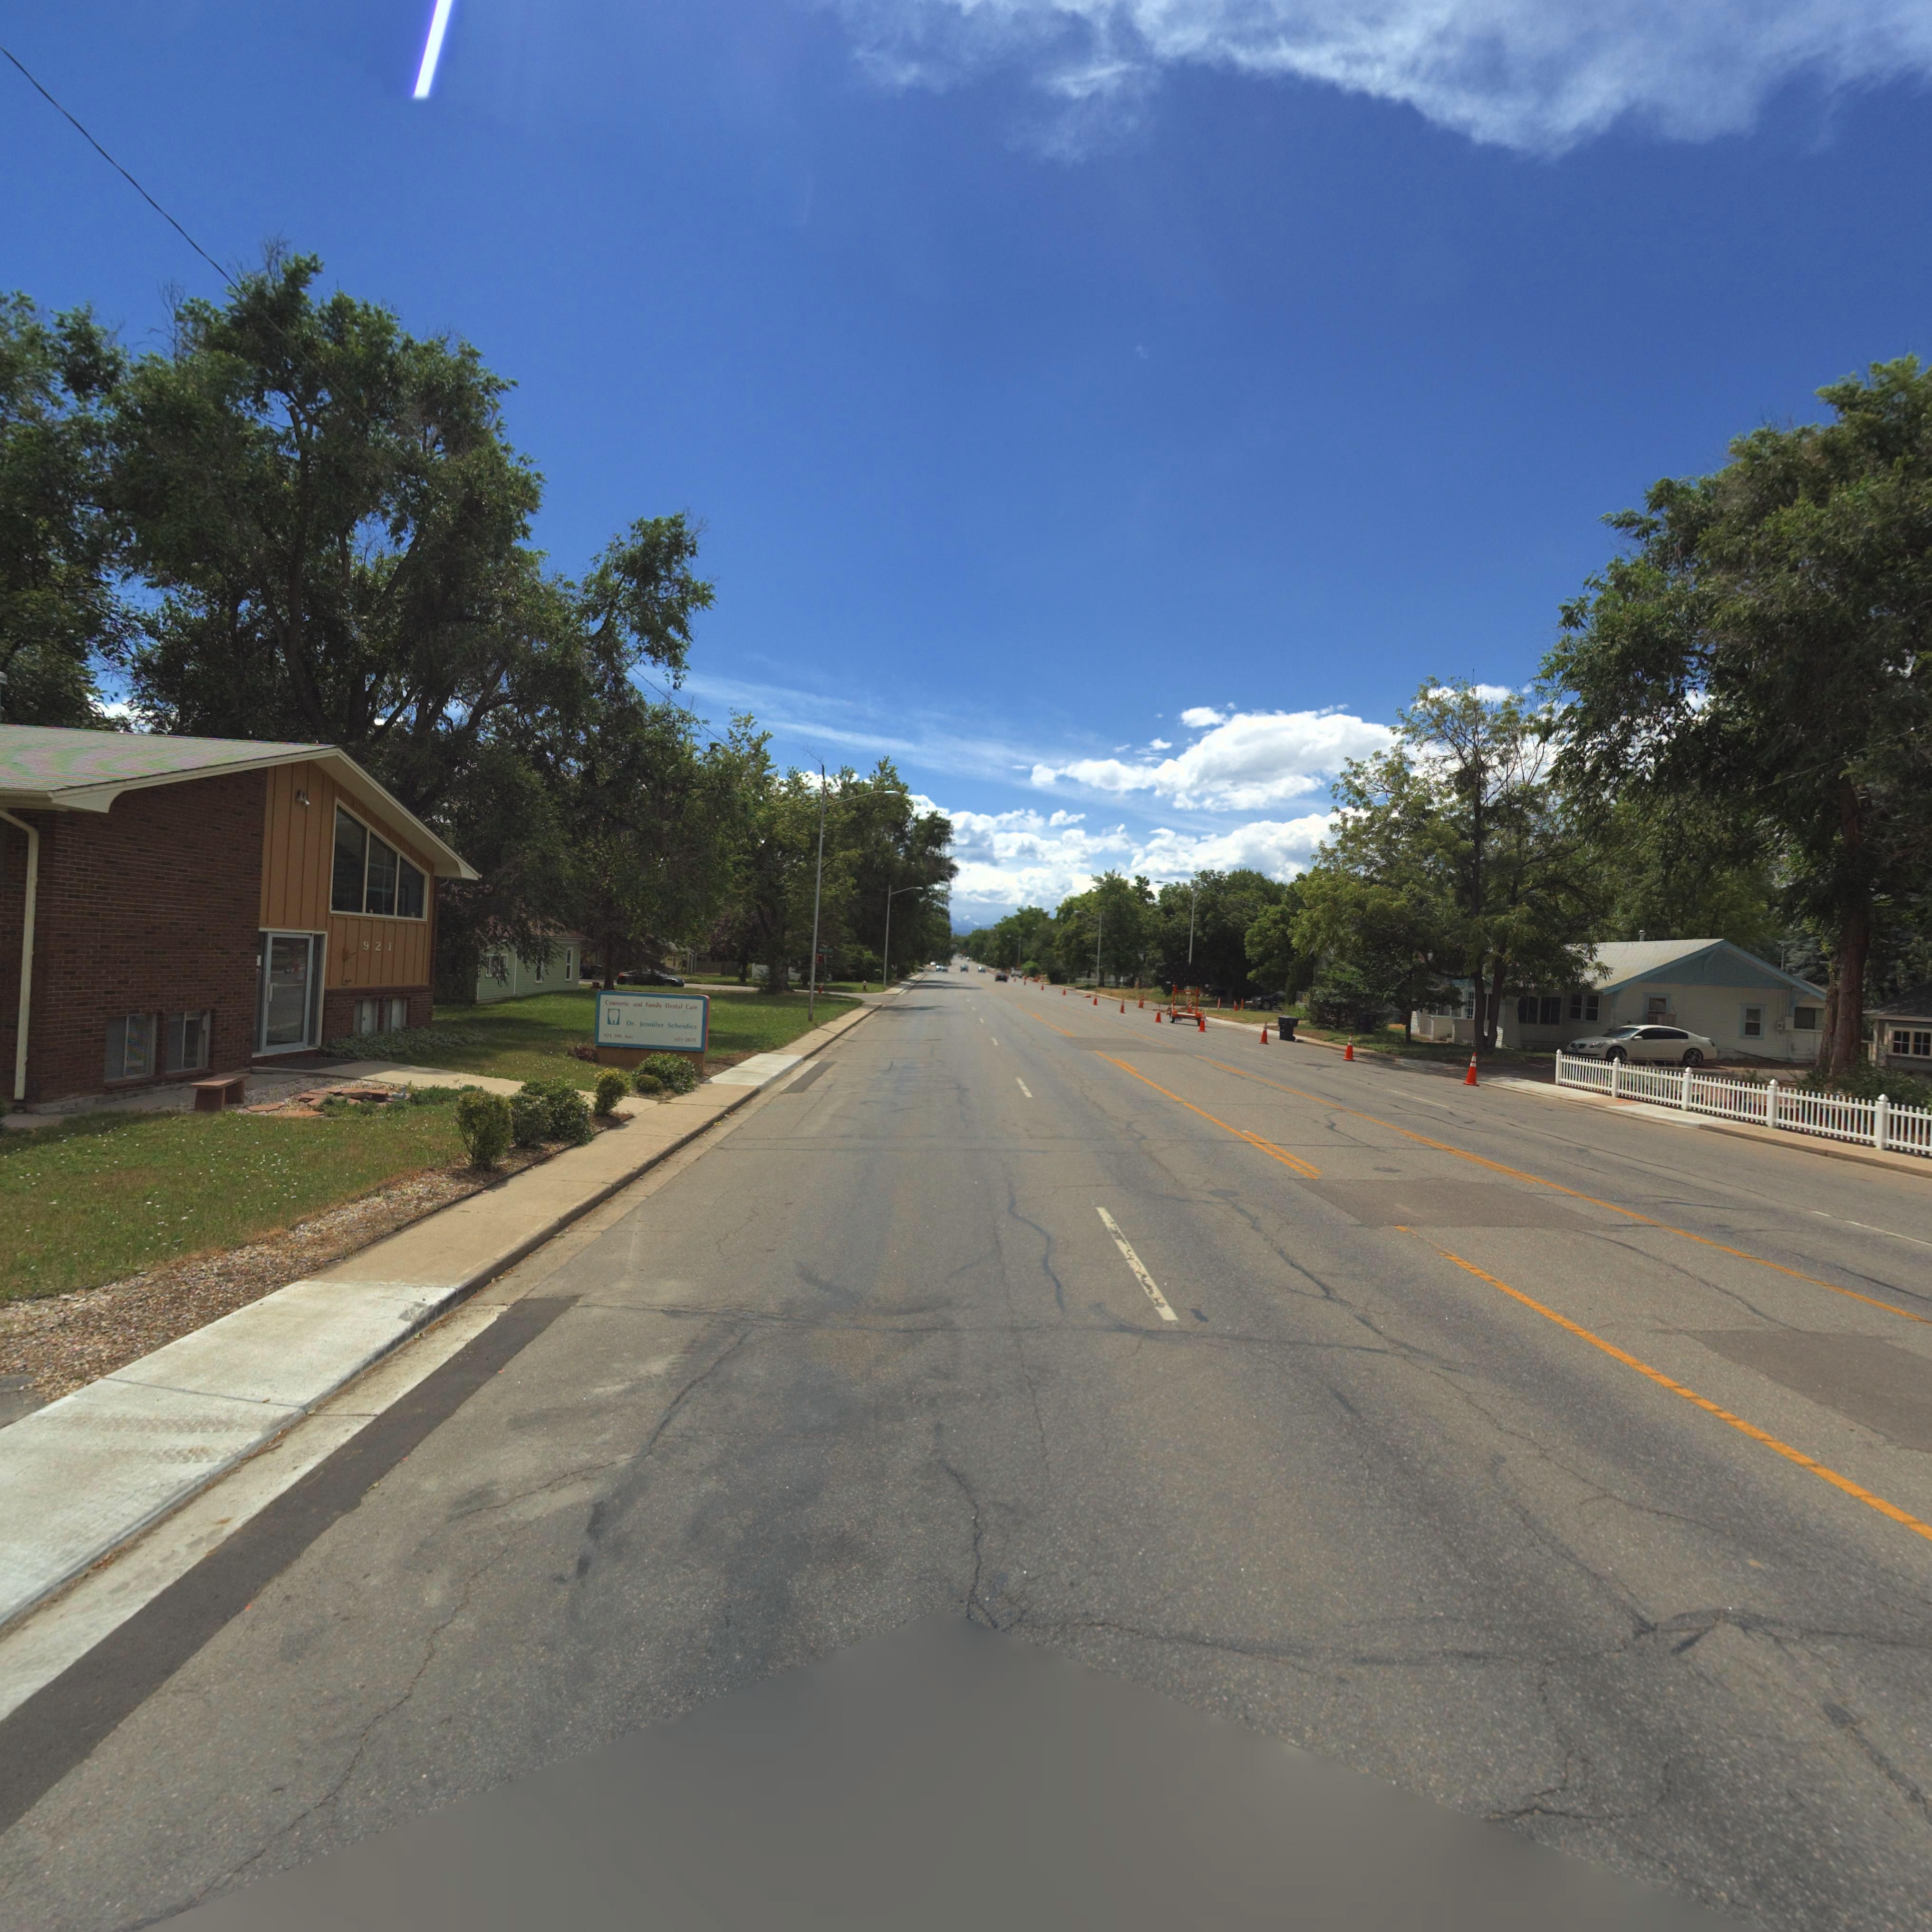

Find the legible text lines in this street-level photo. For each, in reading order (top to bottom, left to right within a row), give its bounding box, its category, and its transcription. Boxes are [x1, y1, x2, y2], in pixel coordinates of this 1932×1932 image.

[362, 940, 391, 951] StreetNumber: 921
[605, 999, 698, 1010] BusinessName: Cosmetic and Family Dental Care
[627, 1020, 697, 1029] BusinessName: Dr. Jennifer Scheidies
[603, 1033, 612, 1037] StreetNumber: 921
[614, 1034, 634, 1039] StreetName: 9th Ave.